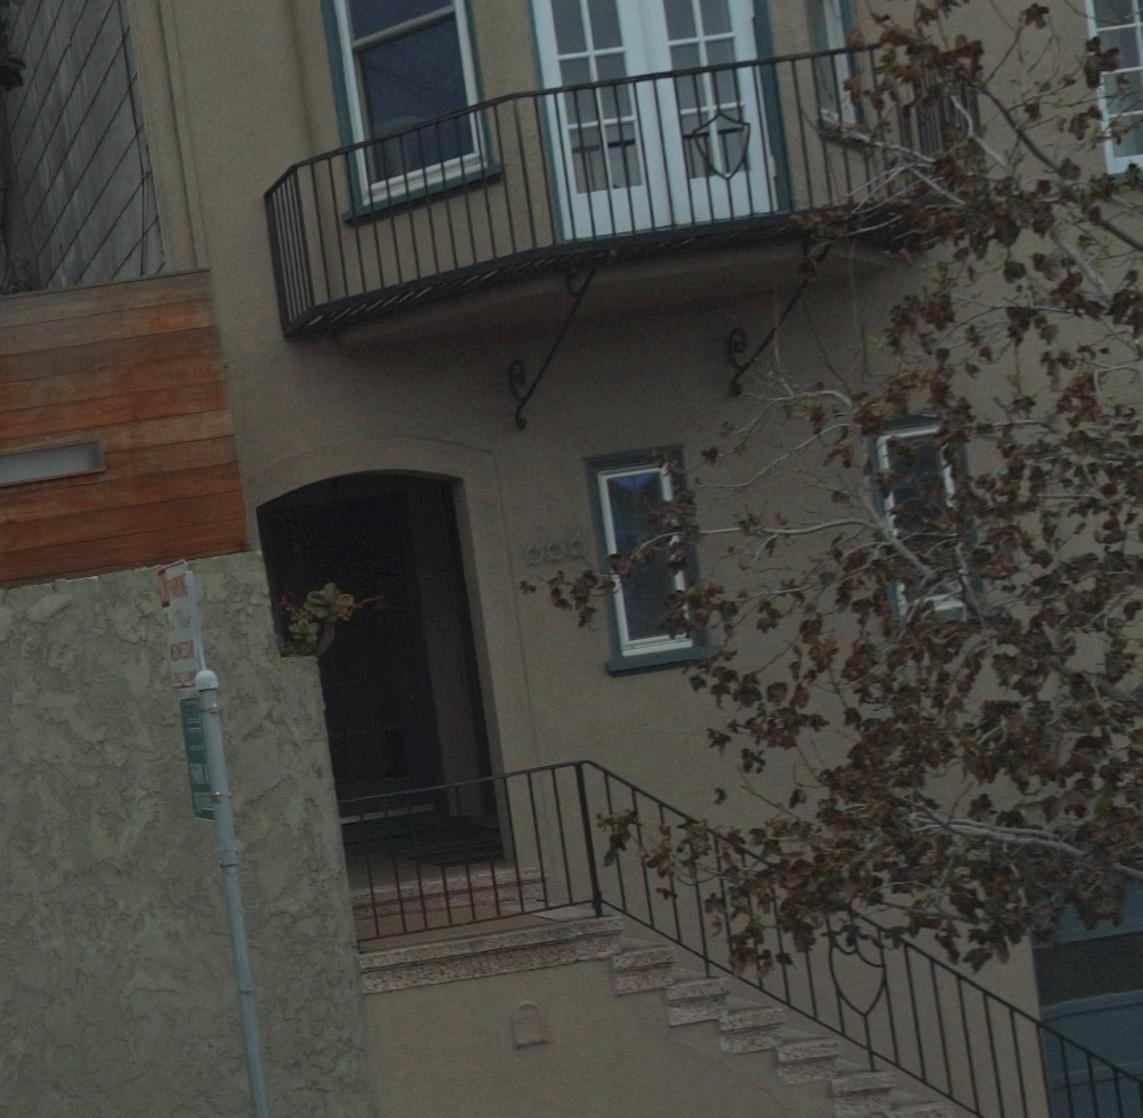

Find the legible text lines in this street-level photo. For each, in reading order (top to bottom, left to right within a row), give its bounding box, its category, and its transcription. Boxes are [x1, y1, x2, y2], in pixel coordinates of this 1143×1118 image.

[523, 528, 591, 566] StreetNumber: 666